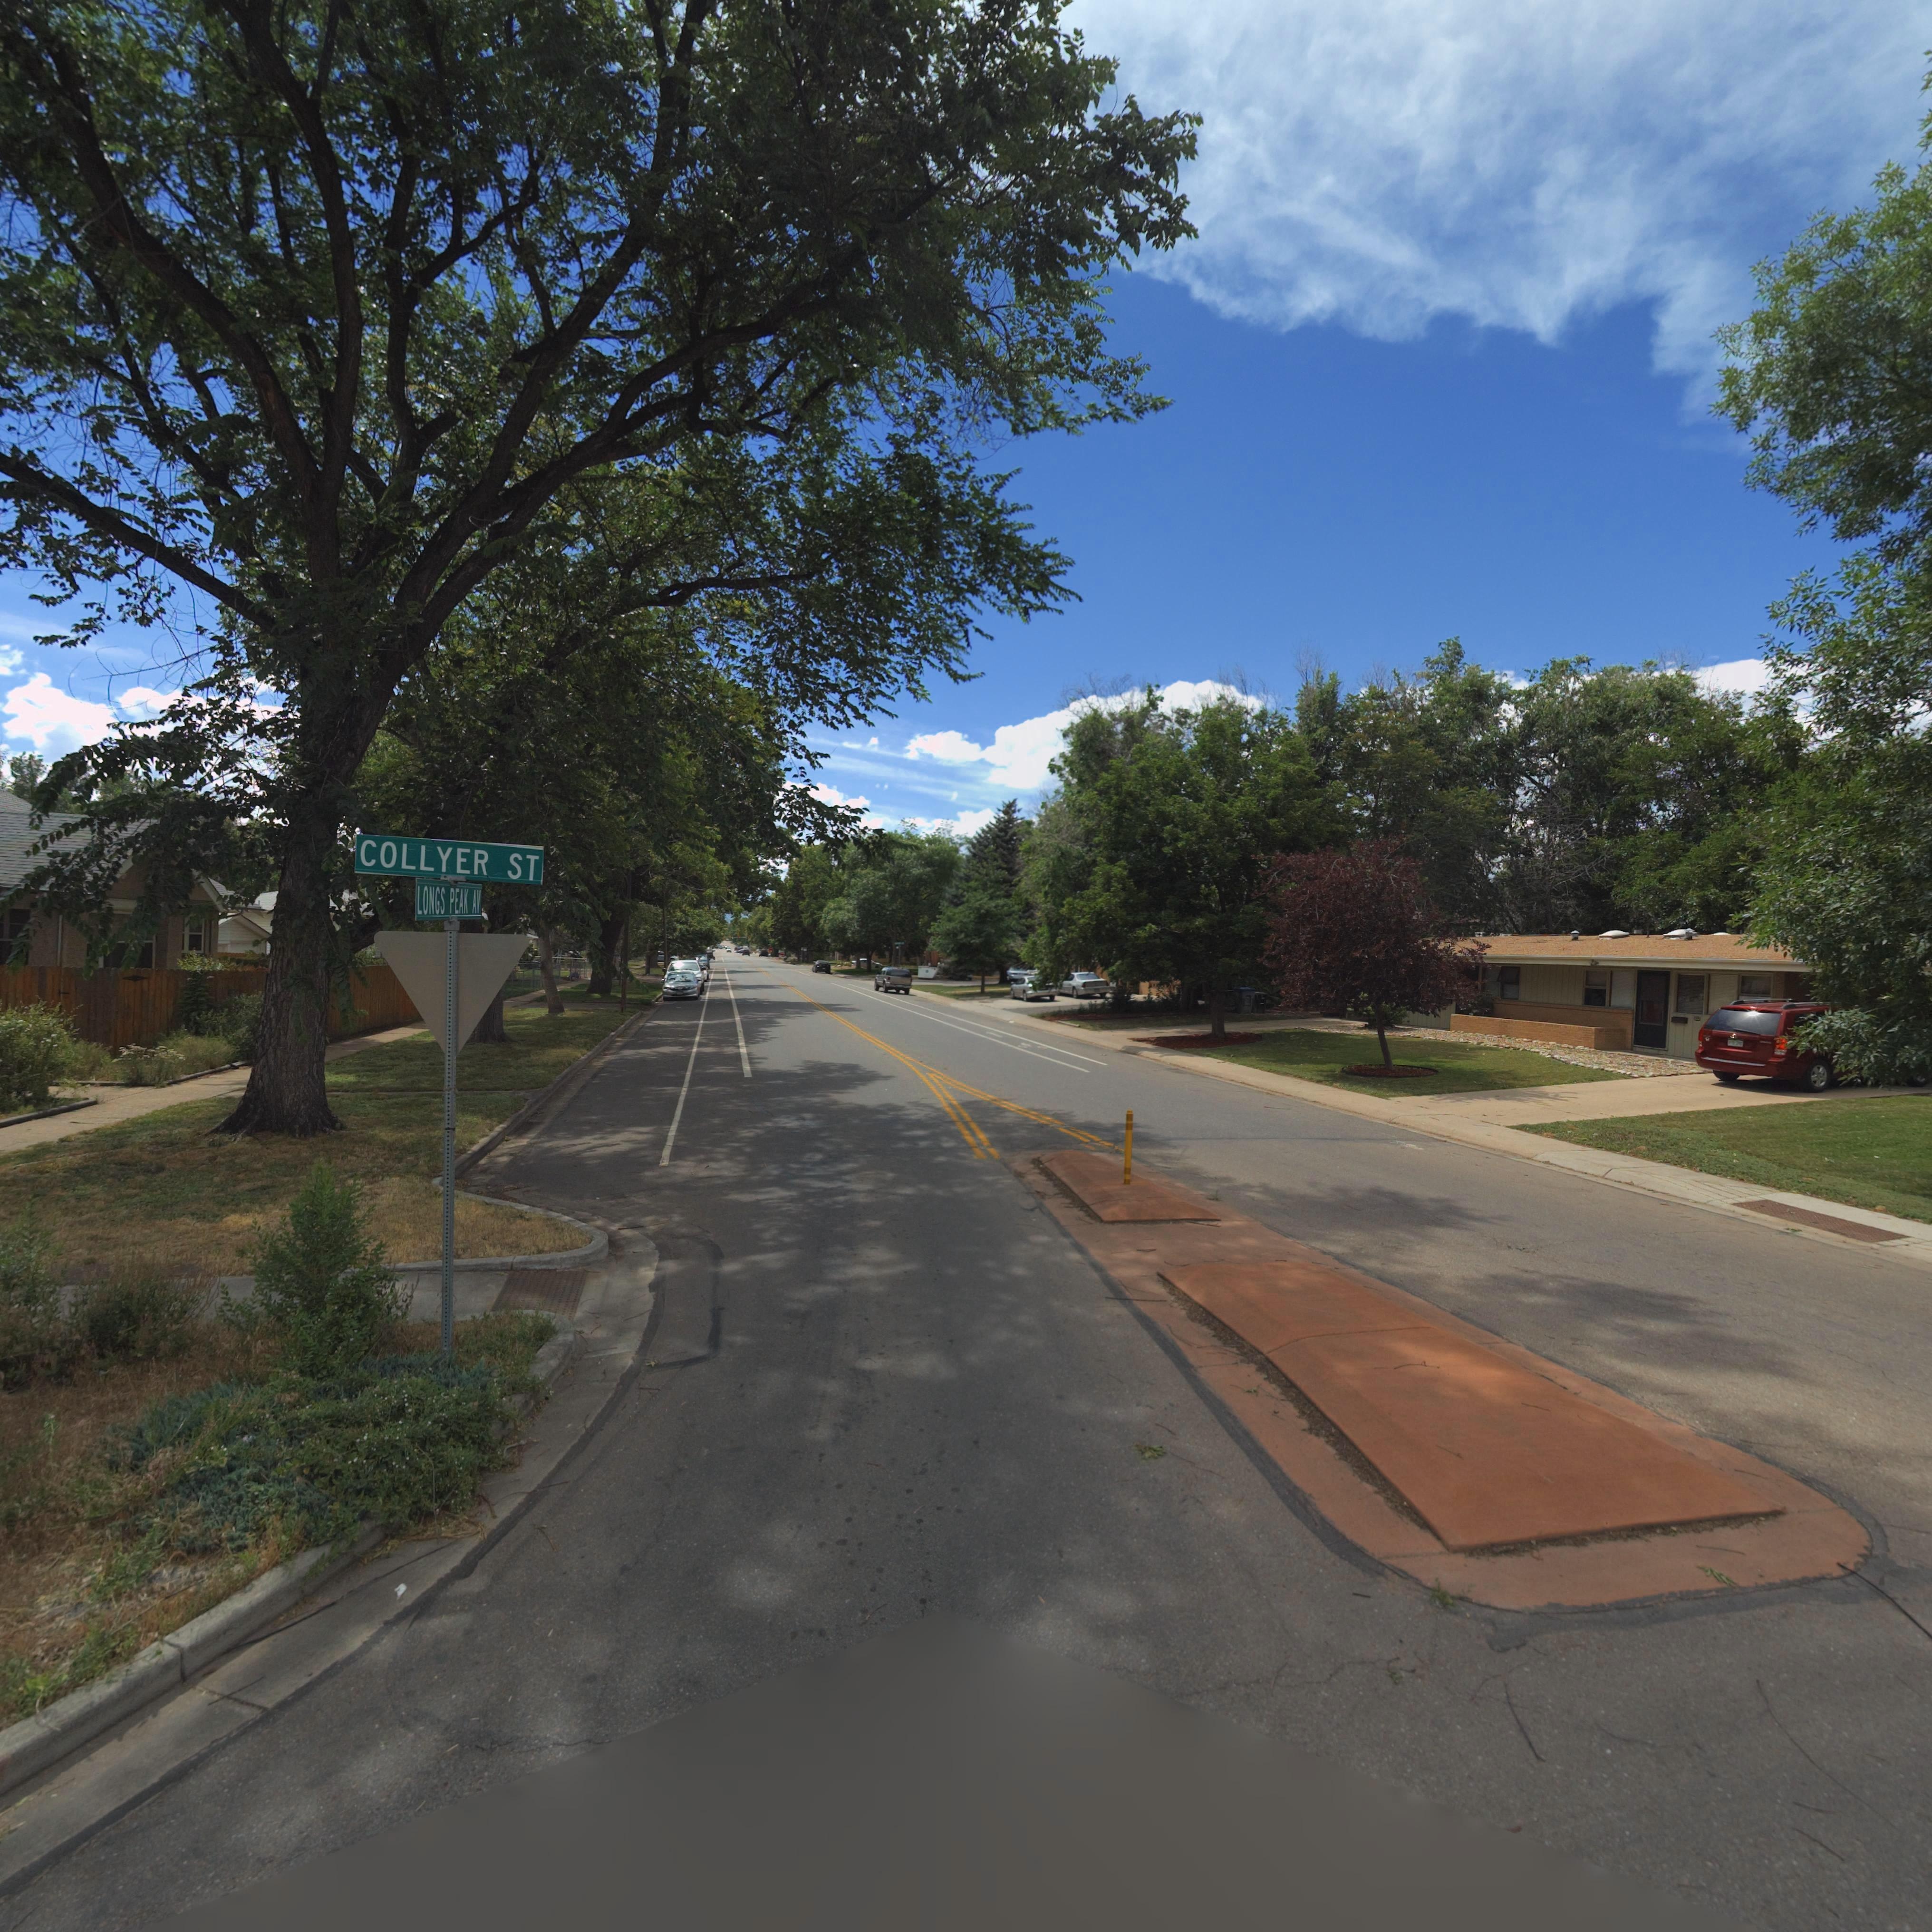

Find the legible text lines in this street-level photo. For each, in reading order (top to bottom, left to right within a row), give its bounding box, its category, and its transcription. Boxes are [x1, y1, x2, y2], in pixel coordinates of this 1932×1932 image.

[359, 838, 540, 881] StreetName: COLLYER ST
[416, 884, 481, 915] StreetName: LONGS PEAK AV